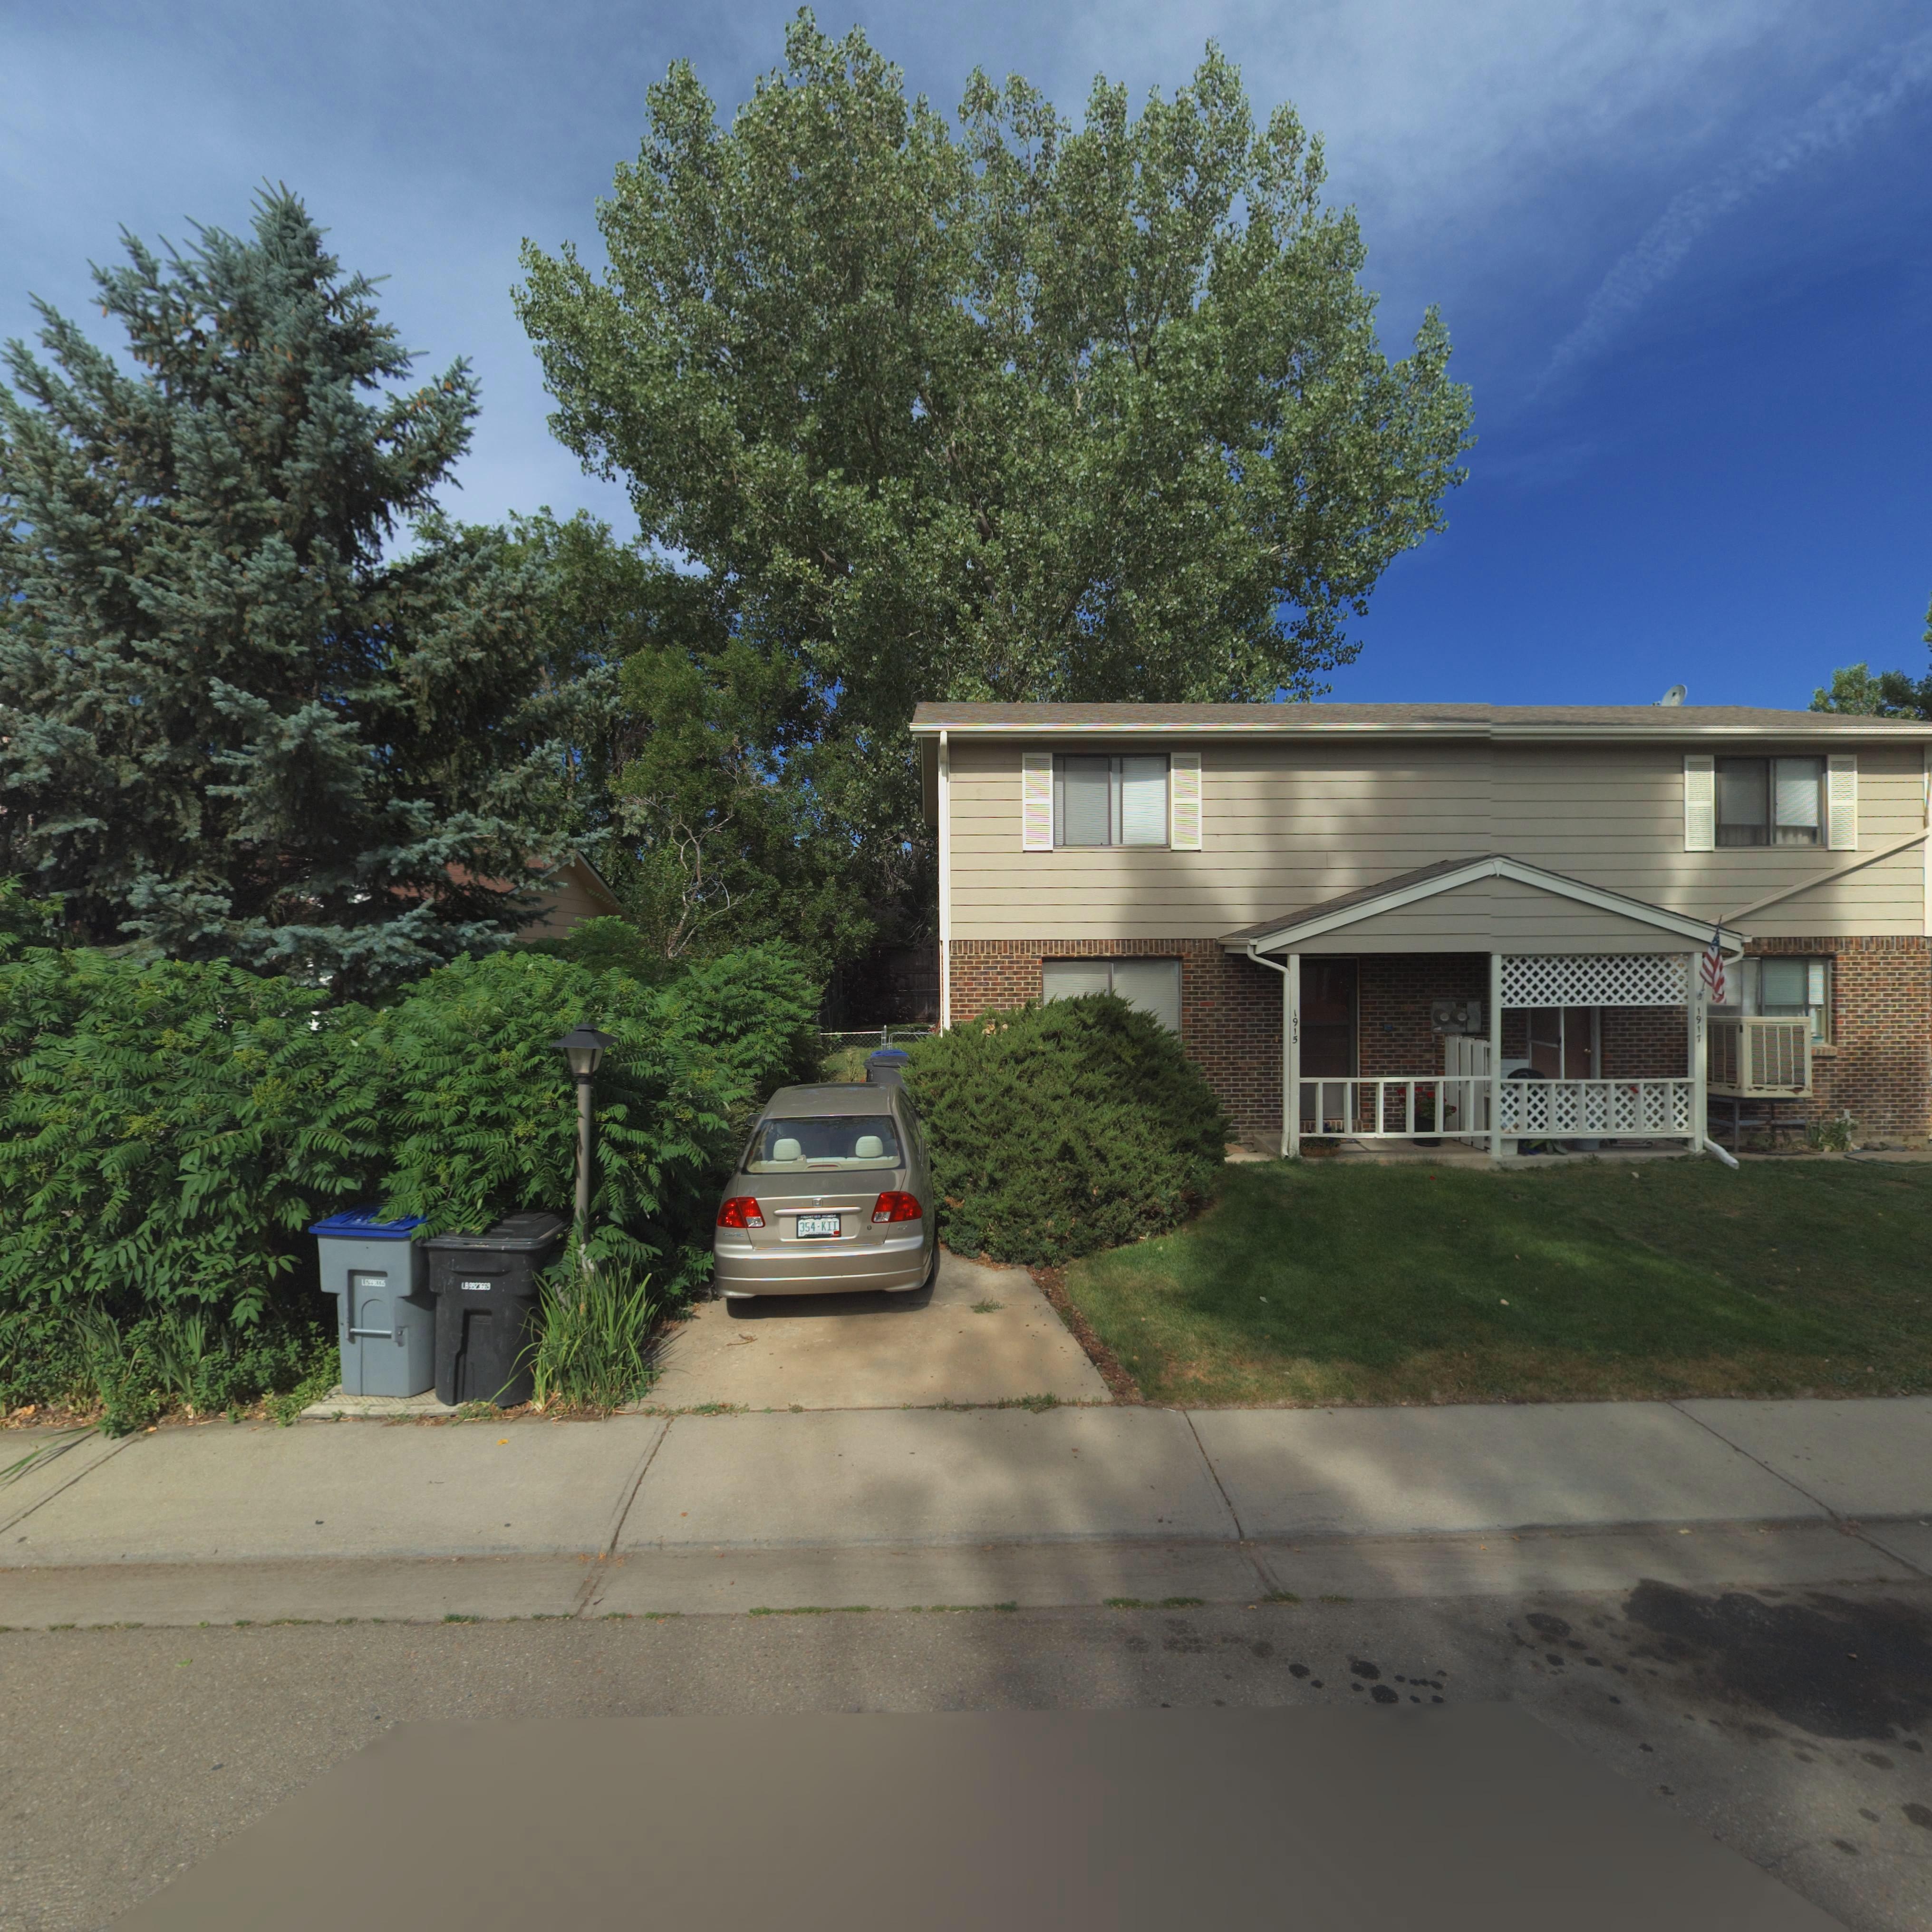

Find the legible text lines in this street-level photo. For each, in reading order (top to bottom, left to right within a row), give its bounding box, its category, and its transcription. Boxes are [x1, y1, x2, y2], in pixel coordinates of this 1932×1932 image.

[1291, 1009, 1298, 1044] StreetNumber: 1915
[1696, 1006, 1701, 1043] StreetNumber: 1917